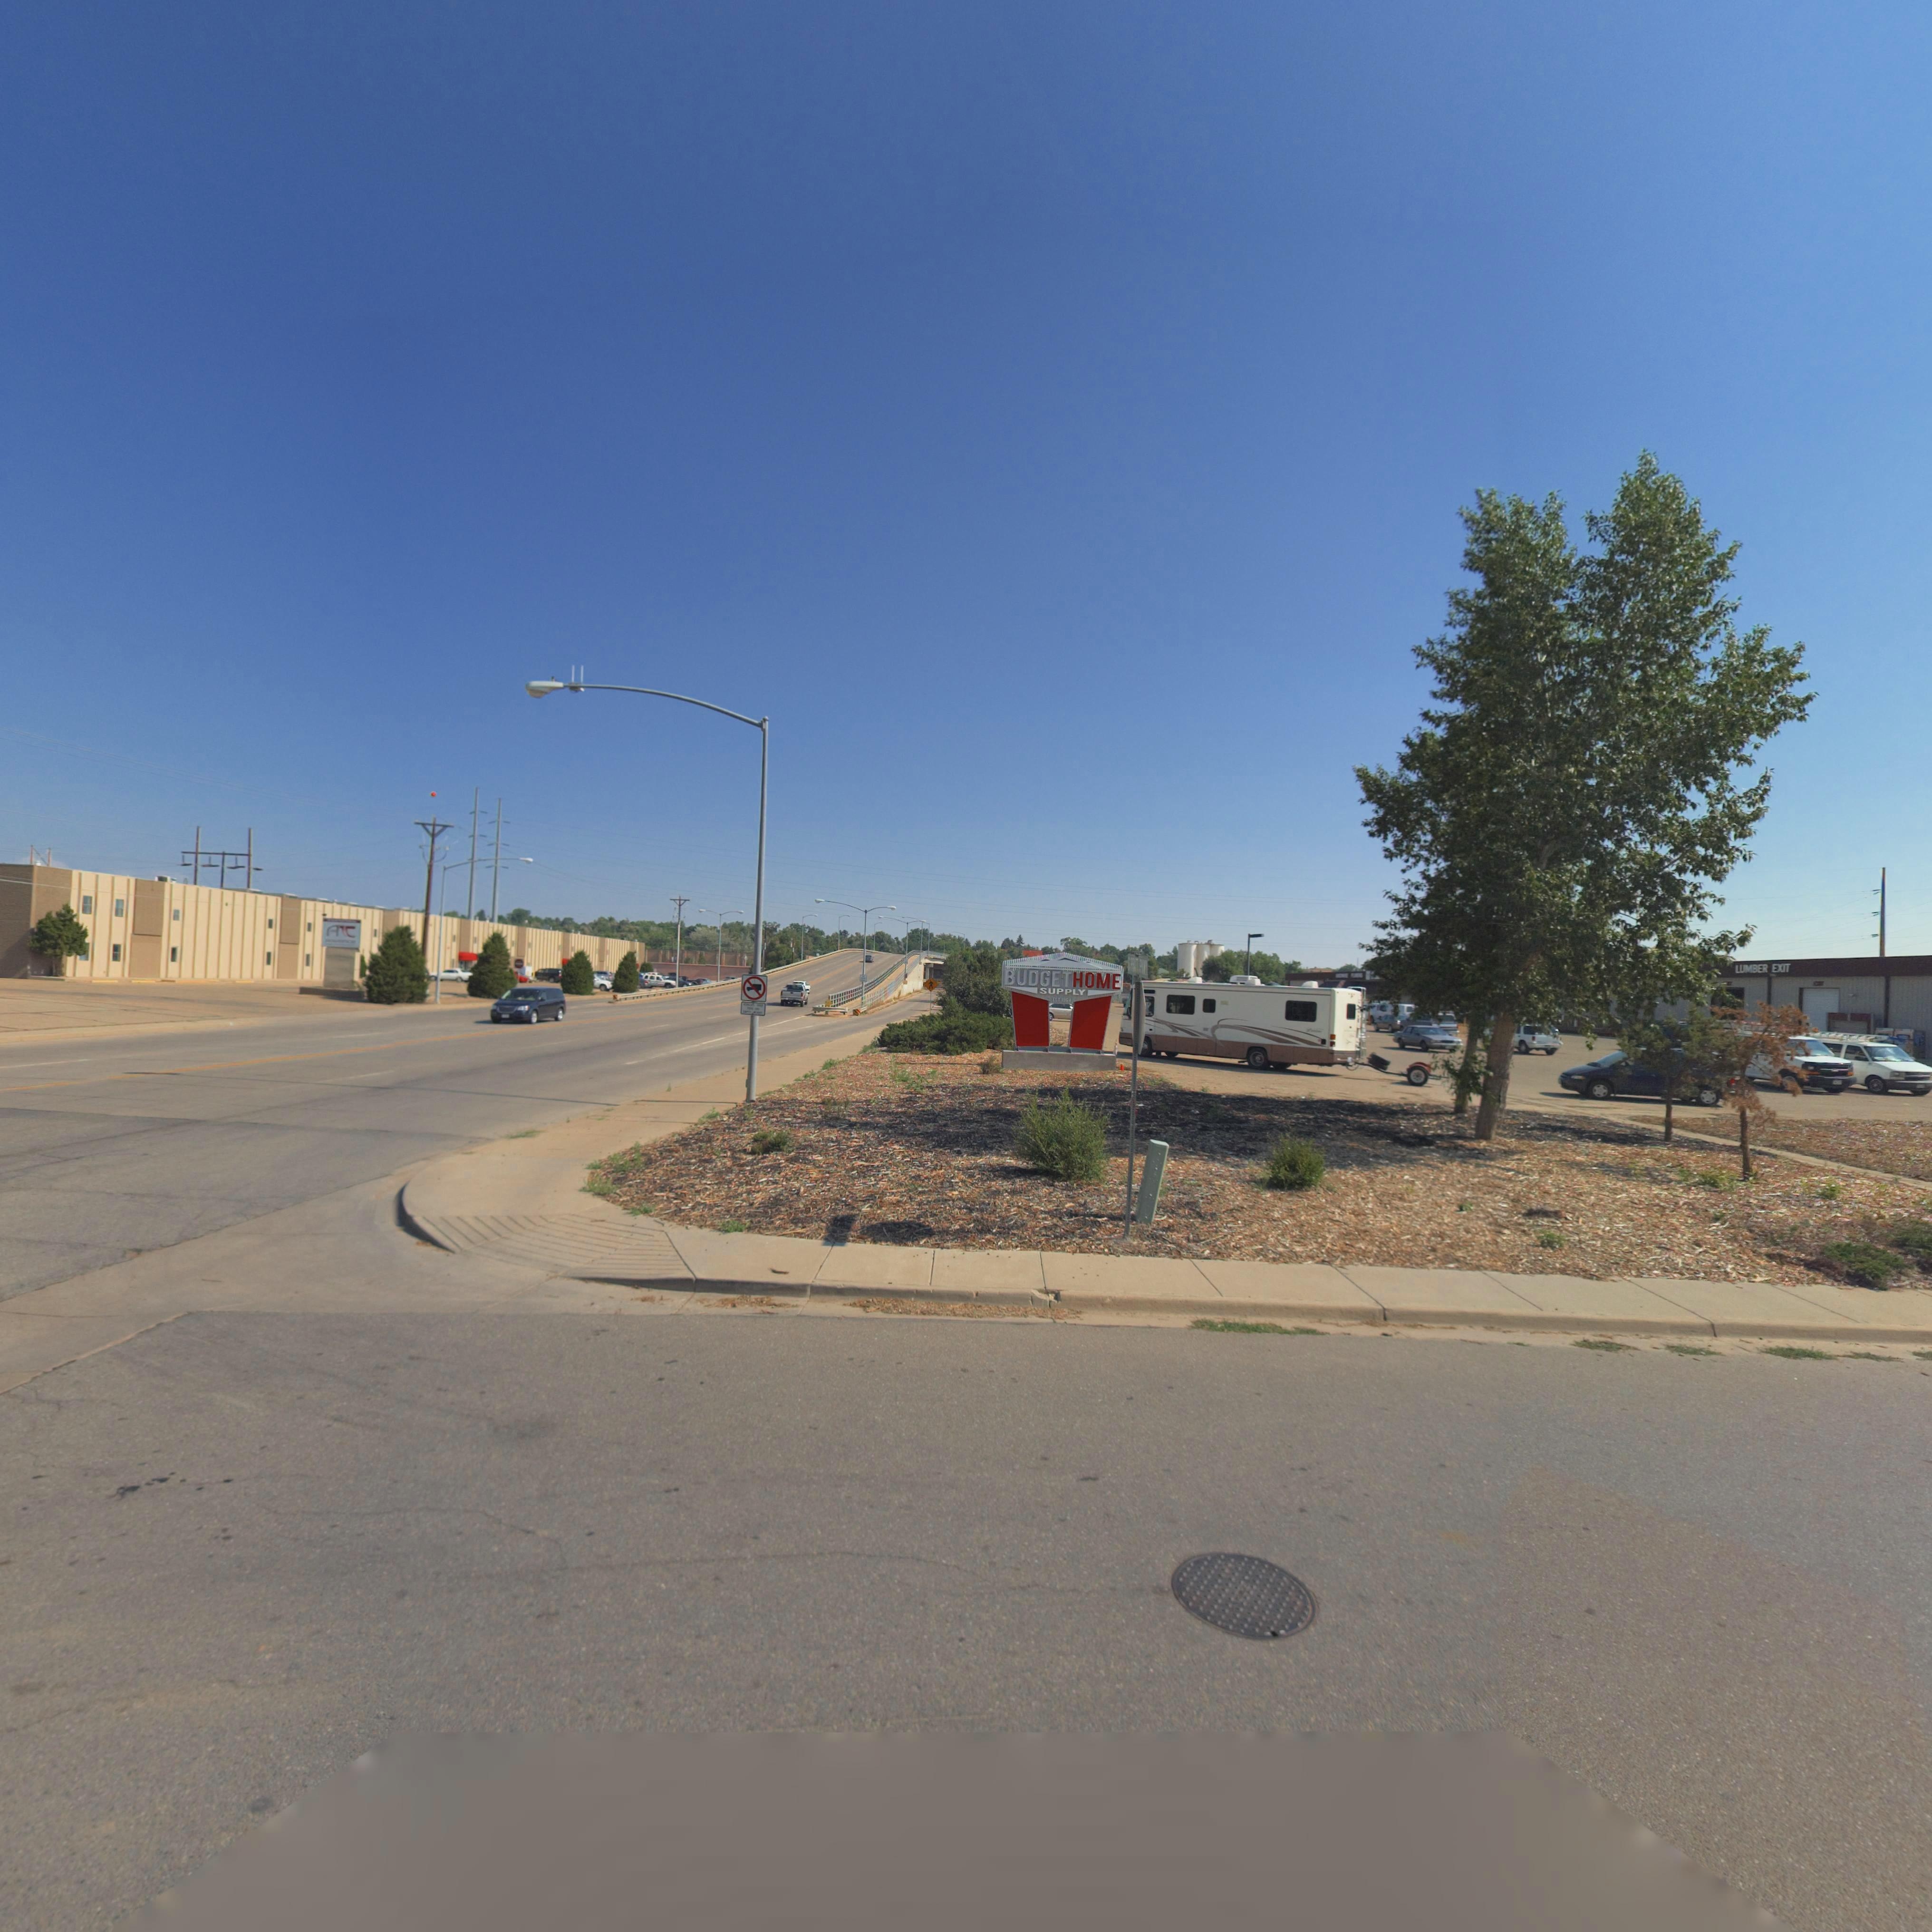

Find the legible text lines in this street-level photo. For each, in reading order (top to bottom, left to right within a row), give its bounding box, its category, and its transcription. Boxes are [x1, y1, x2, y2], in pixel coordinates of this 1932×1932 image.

[326, 924, 356, 938] BusinessName: A*
[1003, 968, 1121, 990] BusinessName: BUDGETHOME
[1039, 987, 1086, 995] BusinessName: SUPPLY